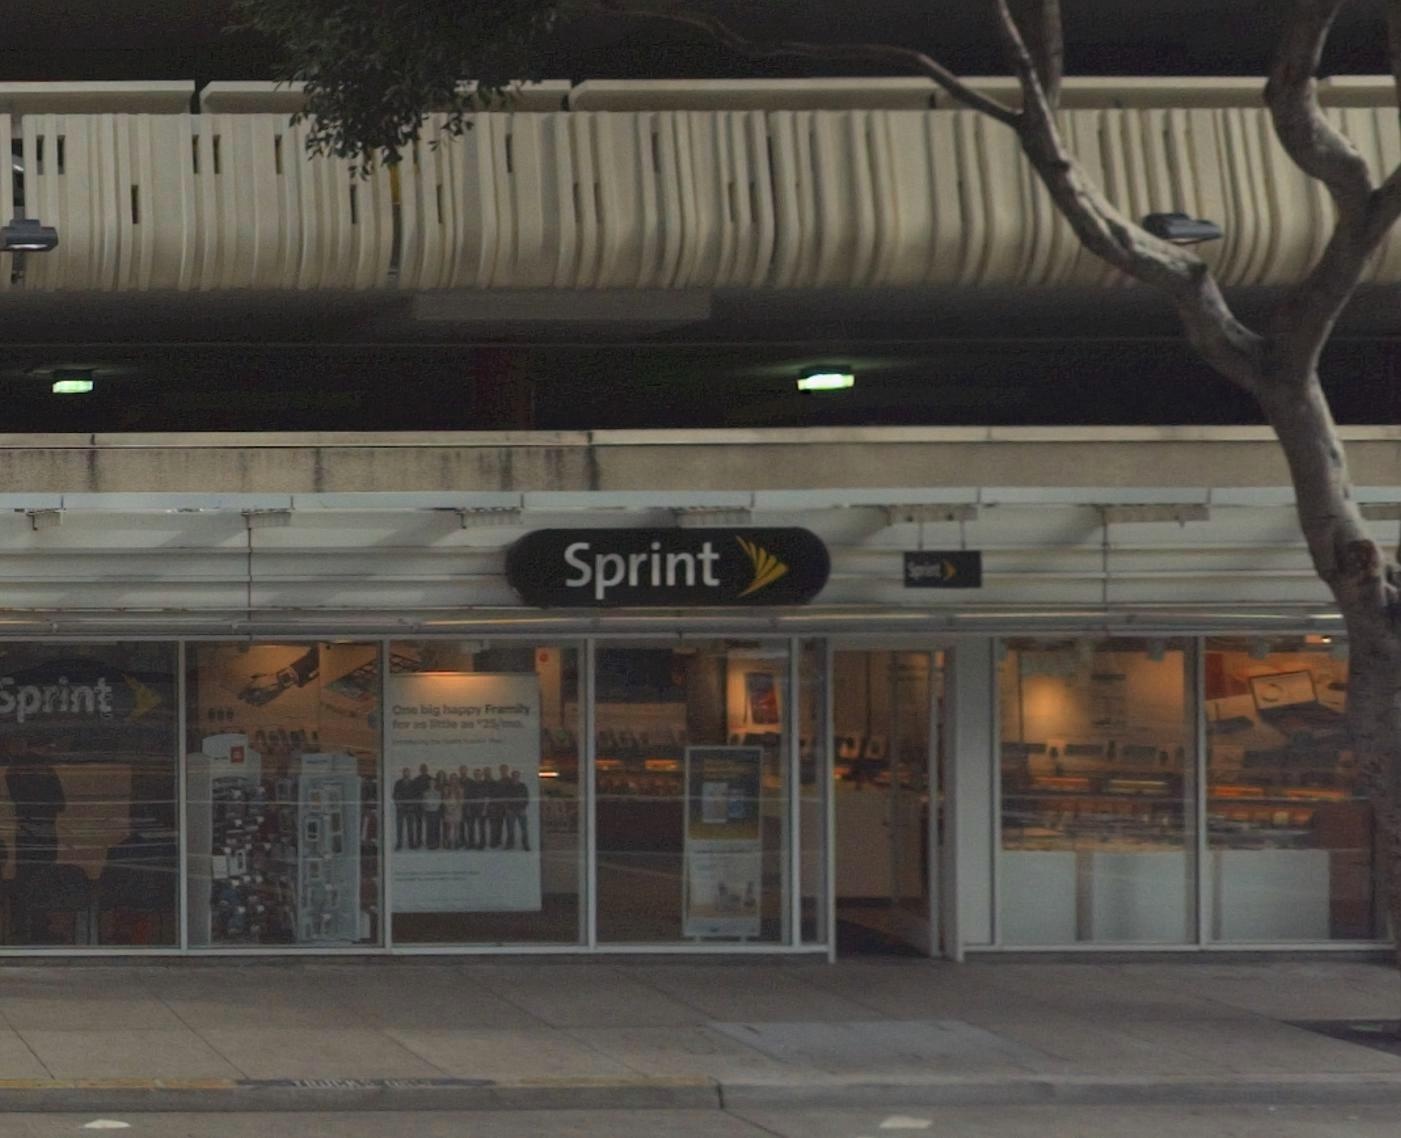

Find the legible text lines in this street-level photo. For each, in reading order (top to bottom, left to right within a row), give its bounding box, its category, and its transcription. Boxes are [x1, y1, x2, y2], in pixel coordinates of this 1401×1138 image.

[561, 539, 722, 603] BusinessName: Sprint
[14, 672, 115, 727] BusinessName: print
[389, 715, 528, 732] None: for as little as $25/mo
[388, 700, 533, 718] None: One big happy Fr***ly